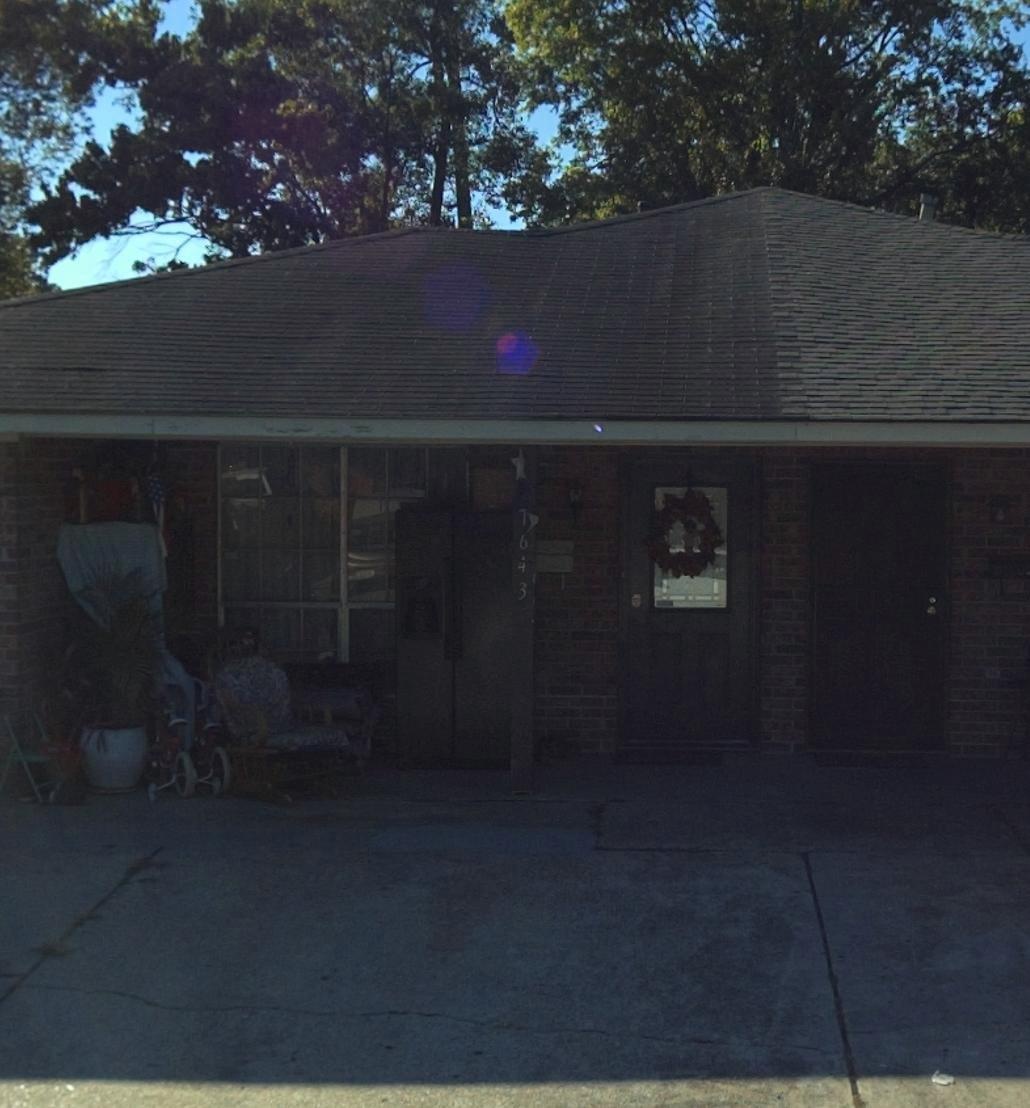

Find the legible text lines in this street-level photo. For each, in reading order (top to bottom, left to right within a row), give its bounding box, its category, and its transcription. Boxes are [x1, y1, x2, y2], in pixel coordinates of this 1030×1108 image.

[515, 507, 530, 601] StreetNumber: 1643